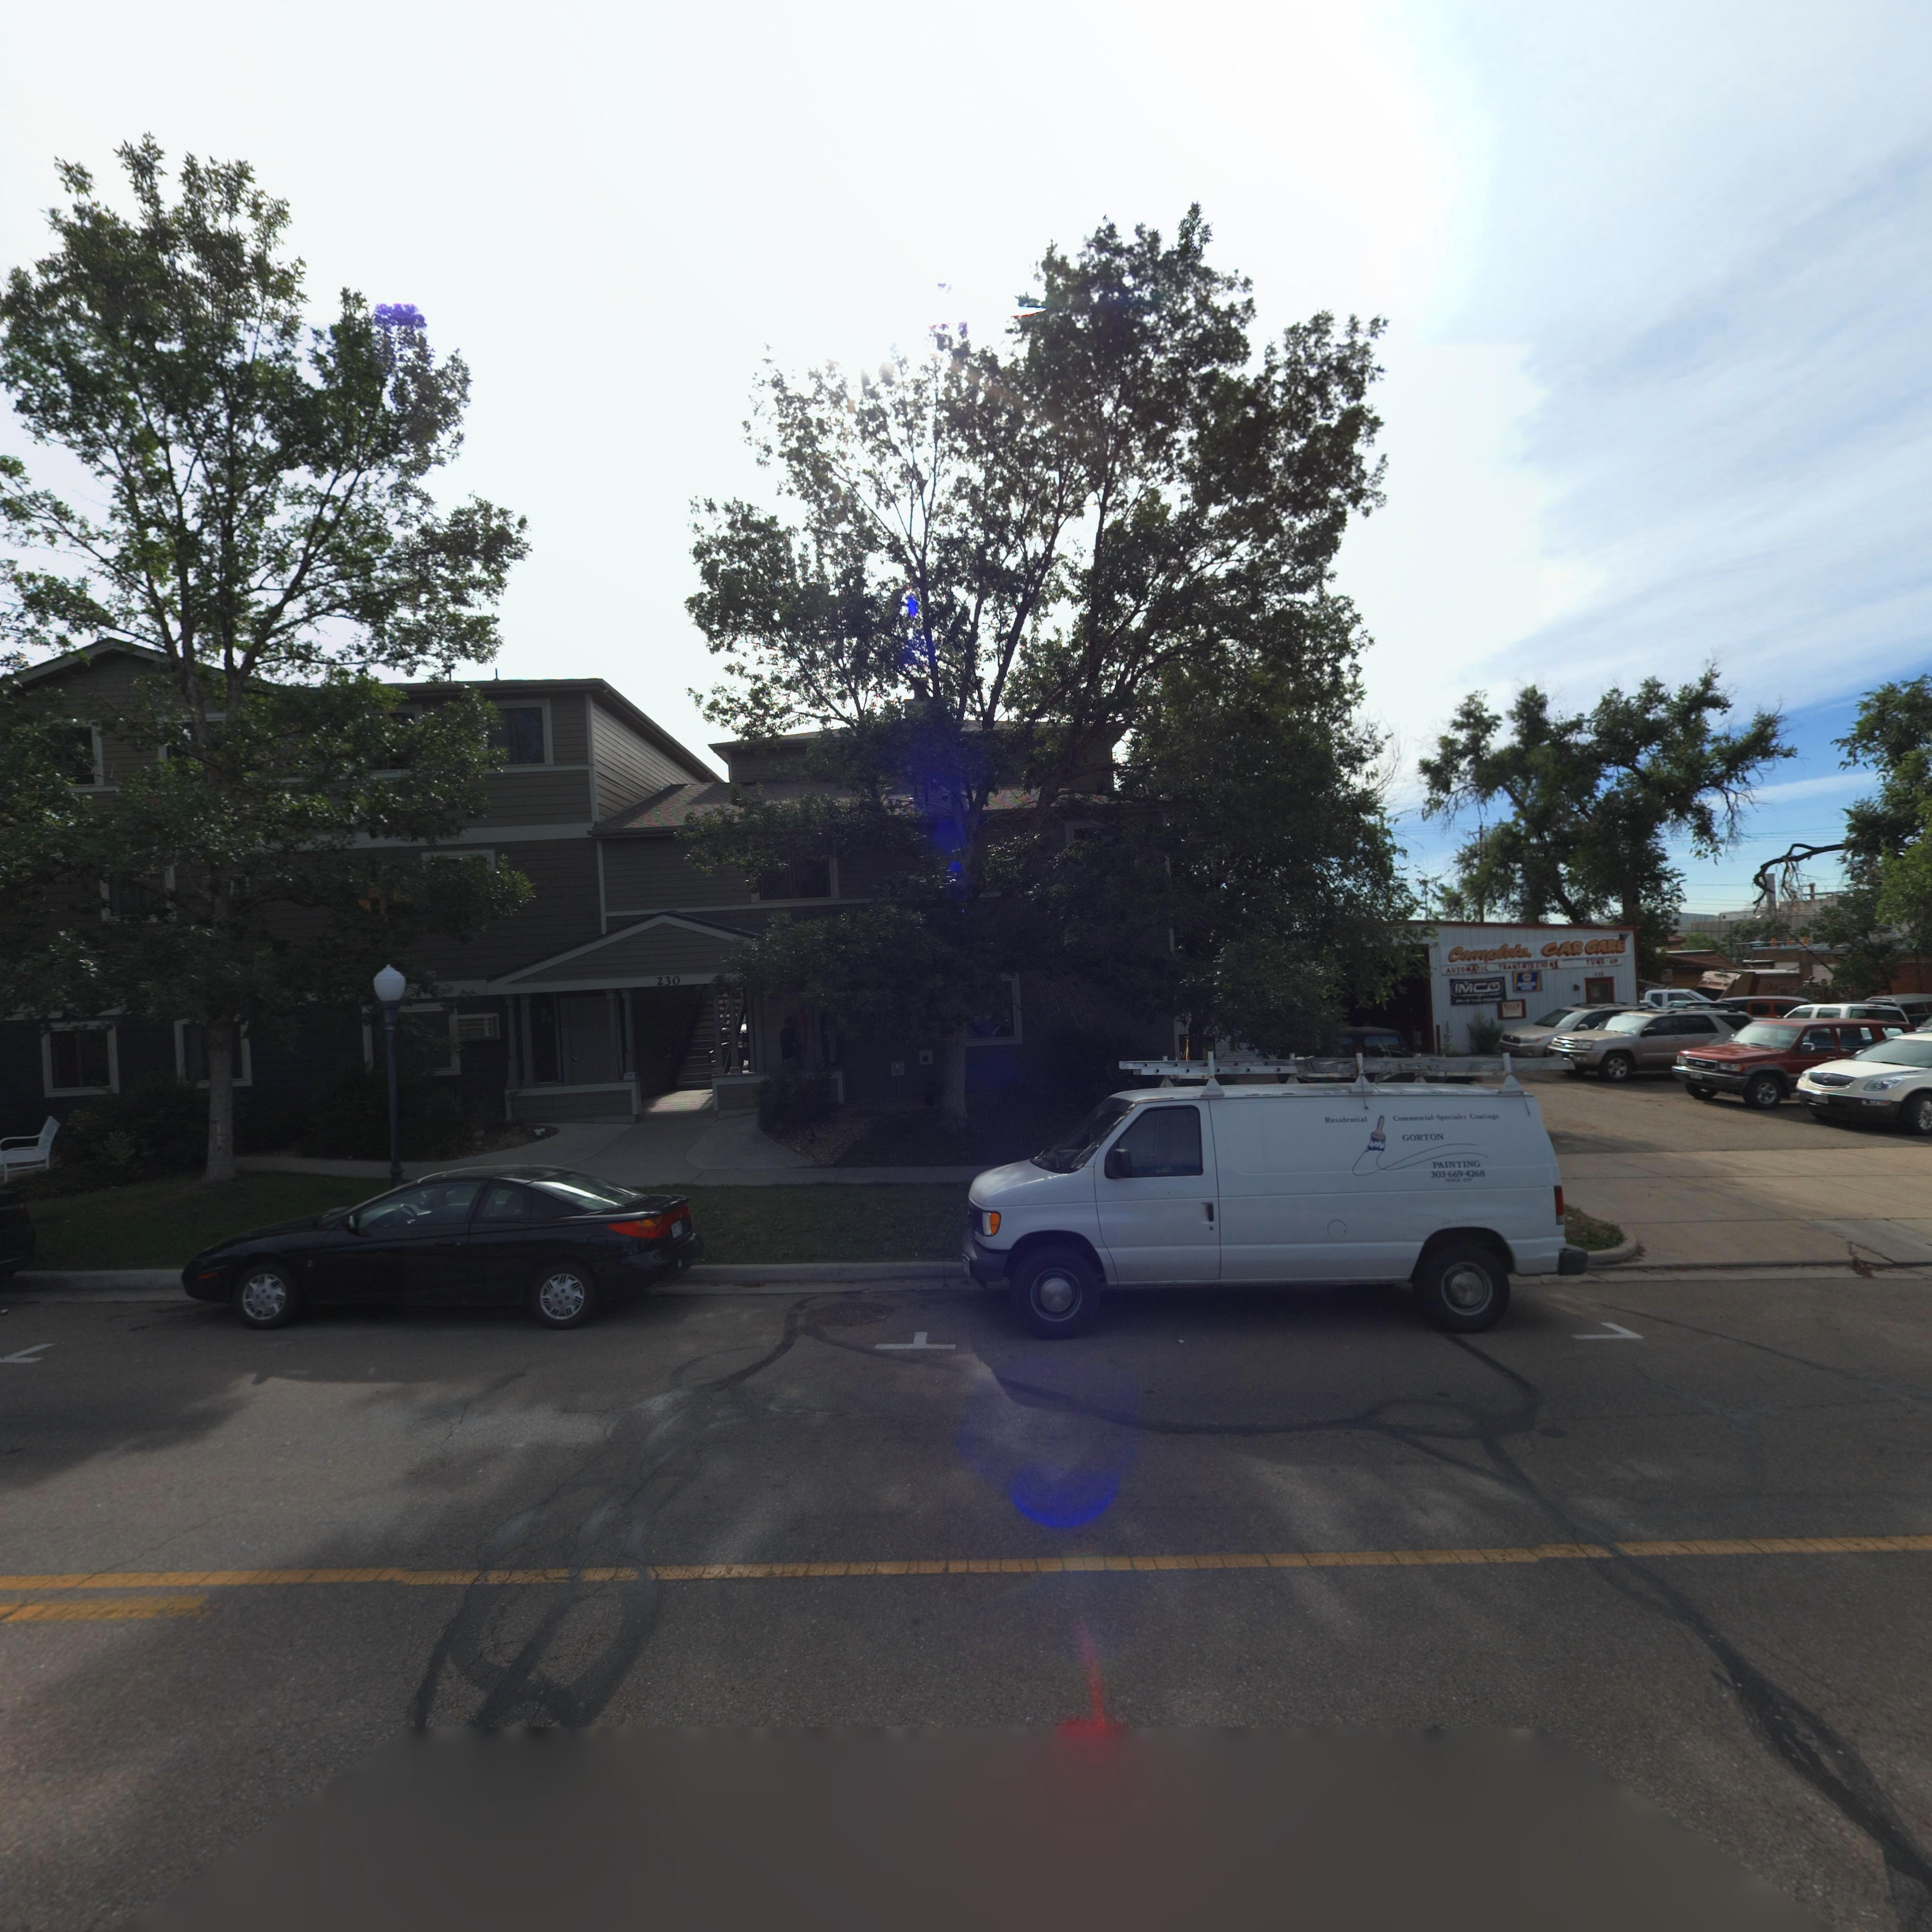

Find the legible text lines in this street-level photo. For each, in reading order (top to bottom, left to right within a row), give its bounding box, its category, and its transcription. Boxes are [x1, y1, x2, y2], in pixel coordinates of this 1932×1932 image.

[1447, 942, 1532, 963] BusinessName: Complete
[1539, 937, 1627, 958] BusinessName: CAR GARE
[655, 976, 680, 986] StreetNumber: 230
[1453, 981, 1500, 994] BusinessName: IMCO
[1401, 1132, 1445, 1141] BusinessName: GORTON
[1432, 1159, 1482, 1169] BusinessName: PAINTING